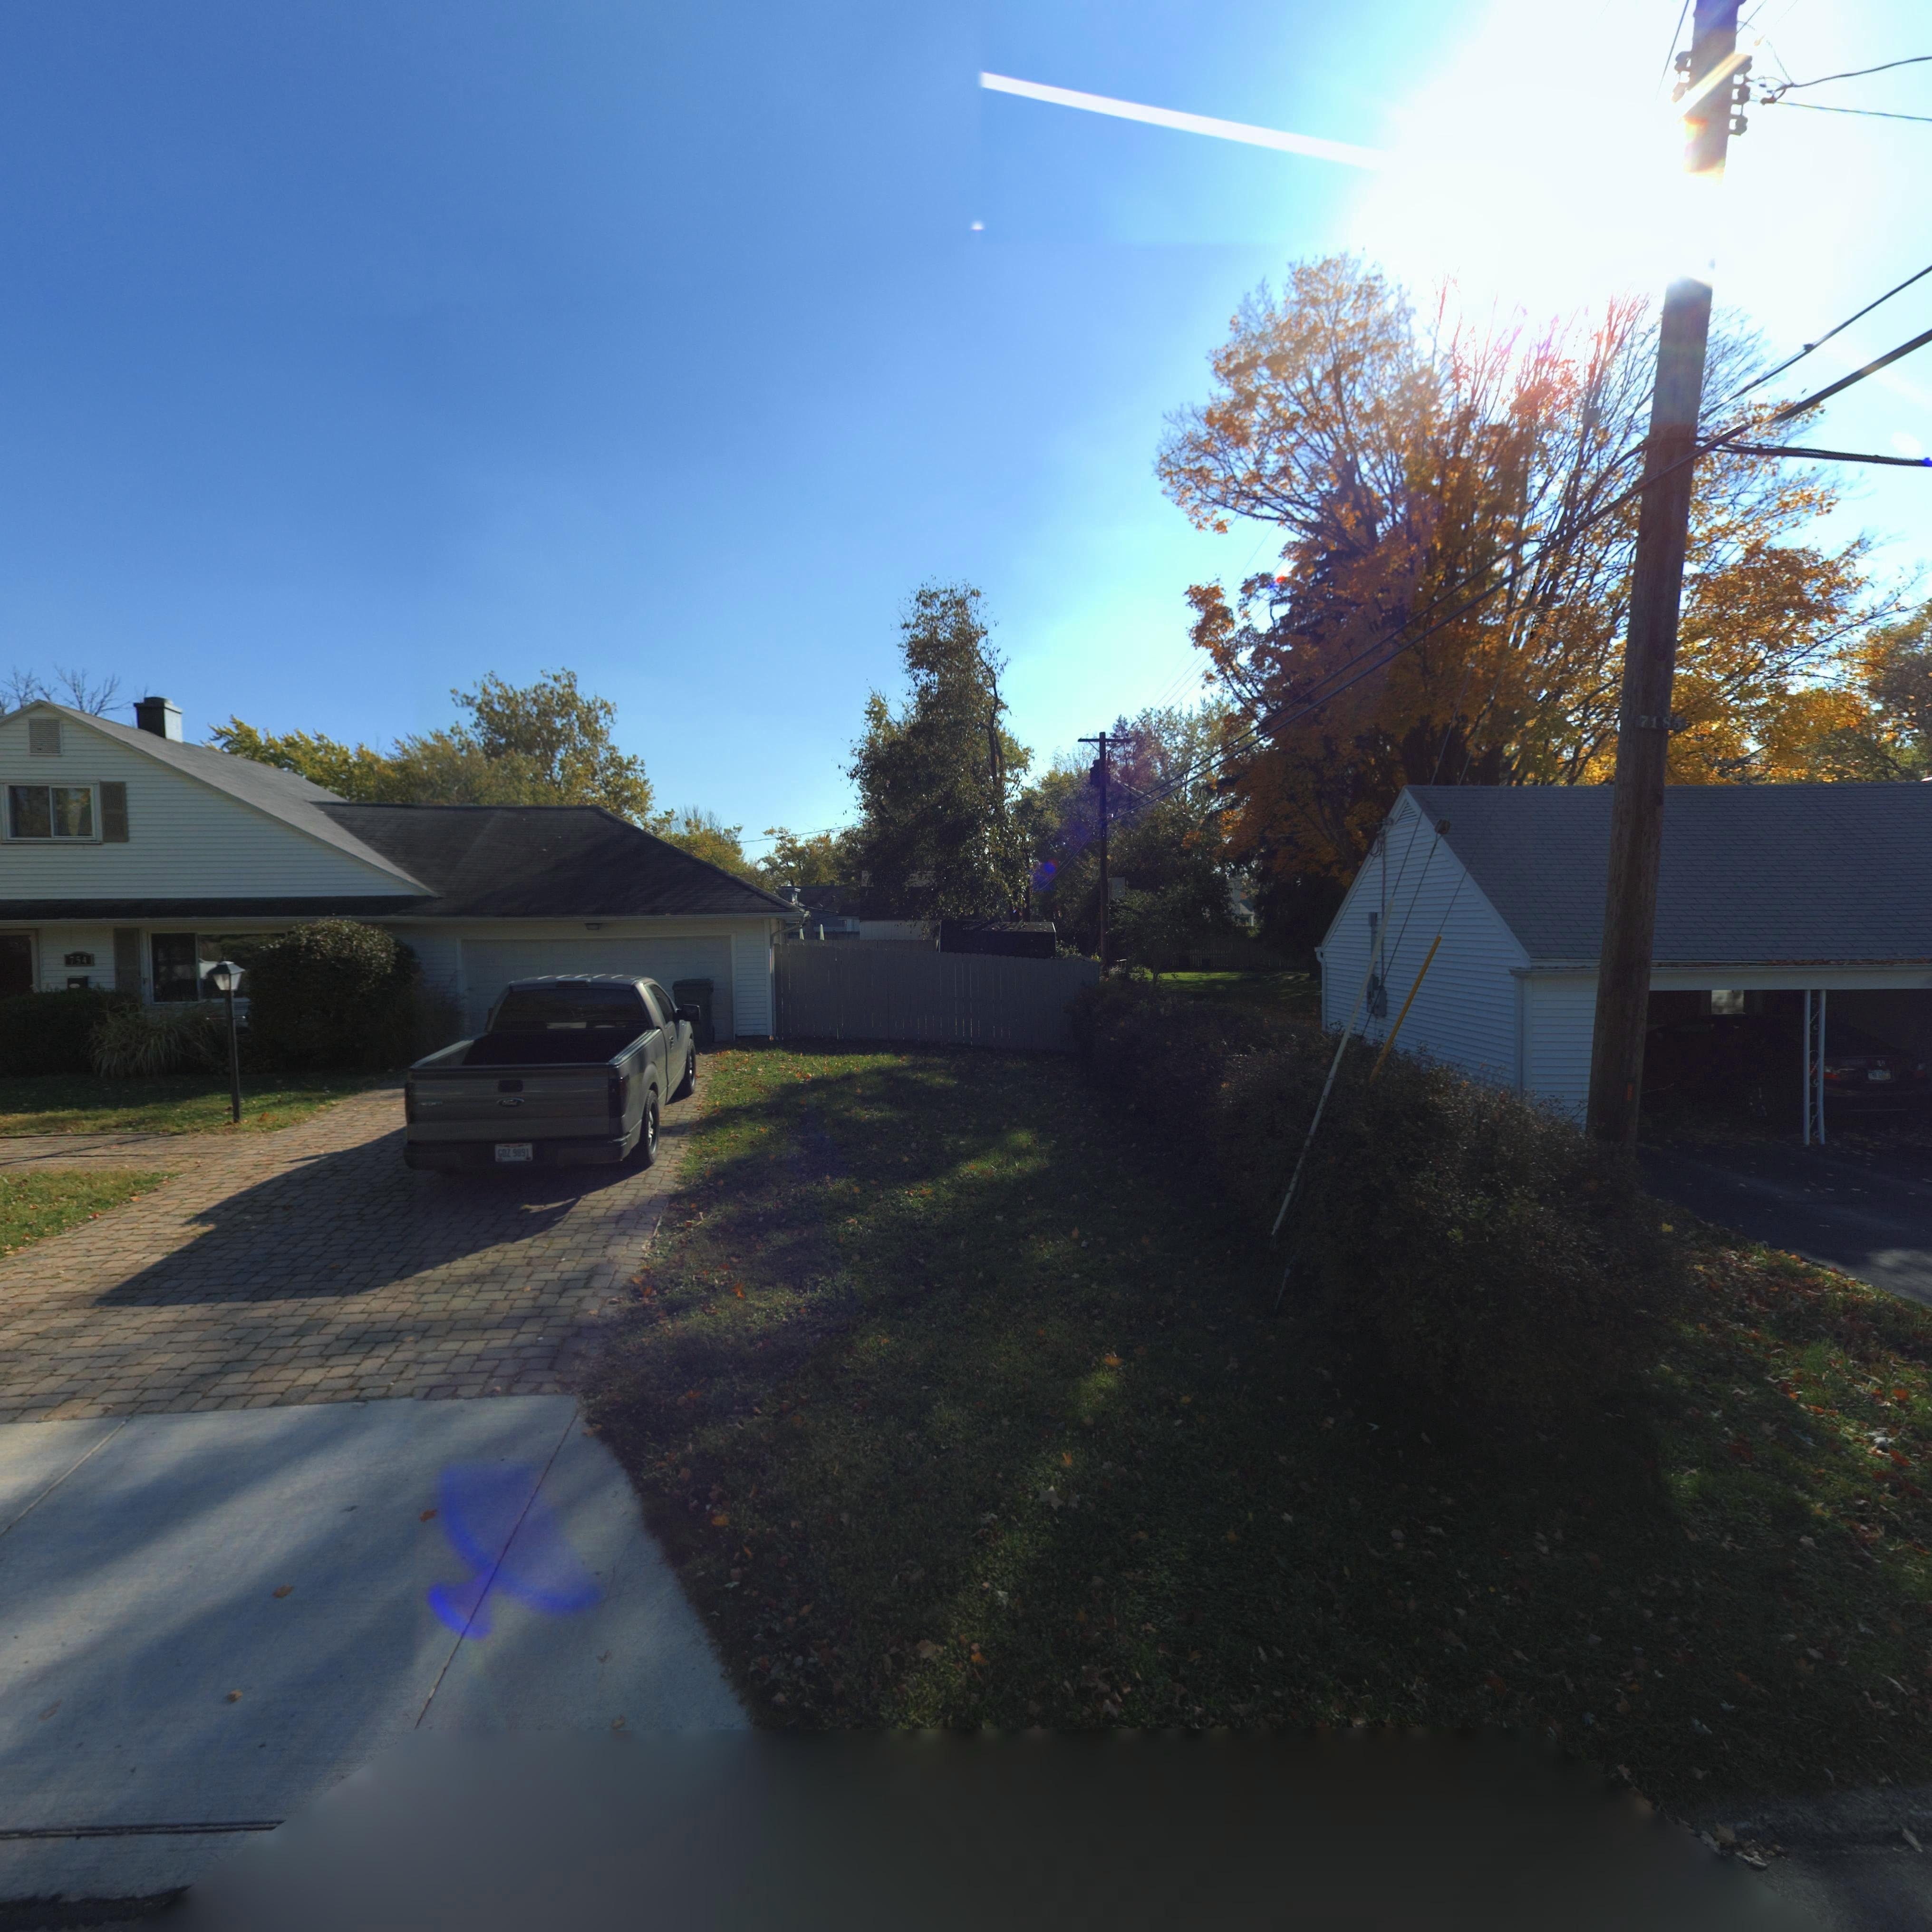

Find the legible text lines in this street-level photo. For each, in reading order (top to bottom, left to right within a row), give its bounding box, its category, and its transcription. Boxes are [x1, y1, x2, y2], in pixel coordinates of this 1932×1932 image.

[69, 956, 87, 964] StreetNumber: 754
[497, 1148, 529, 1157] None: GDZ 9891